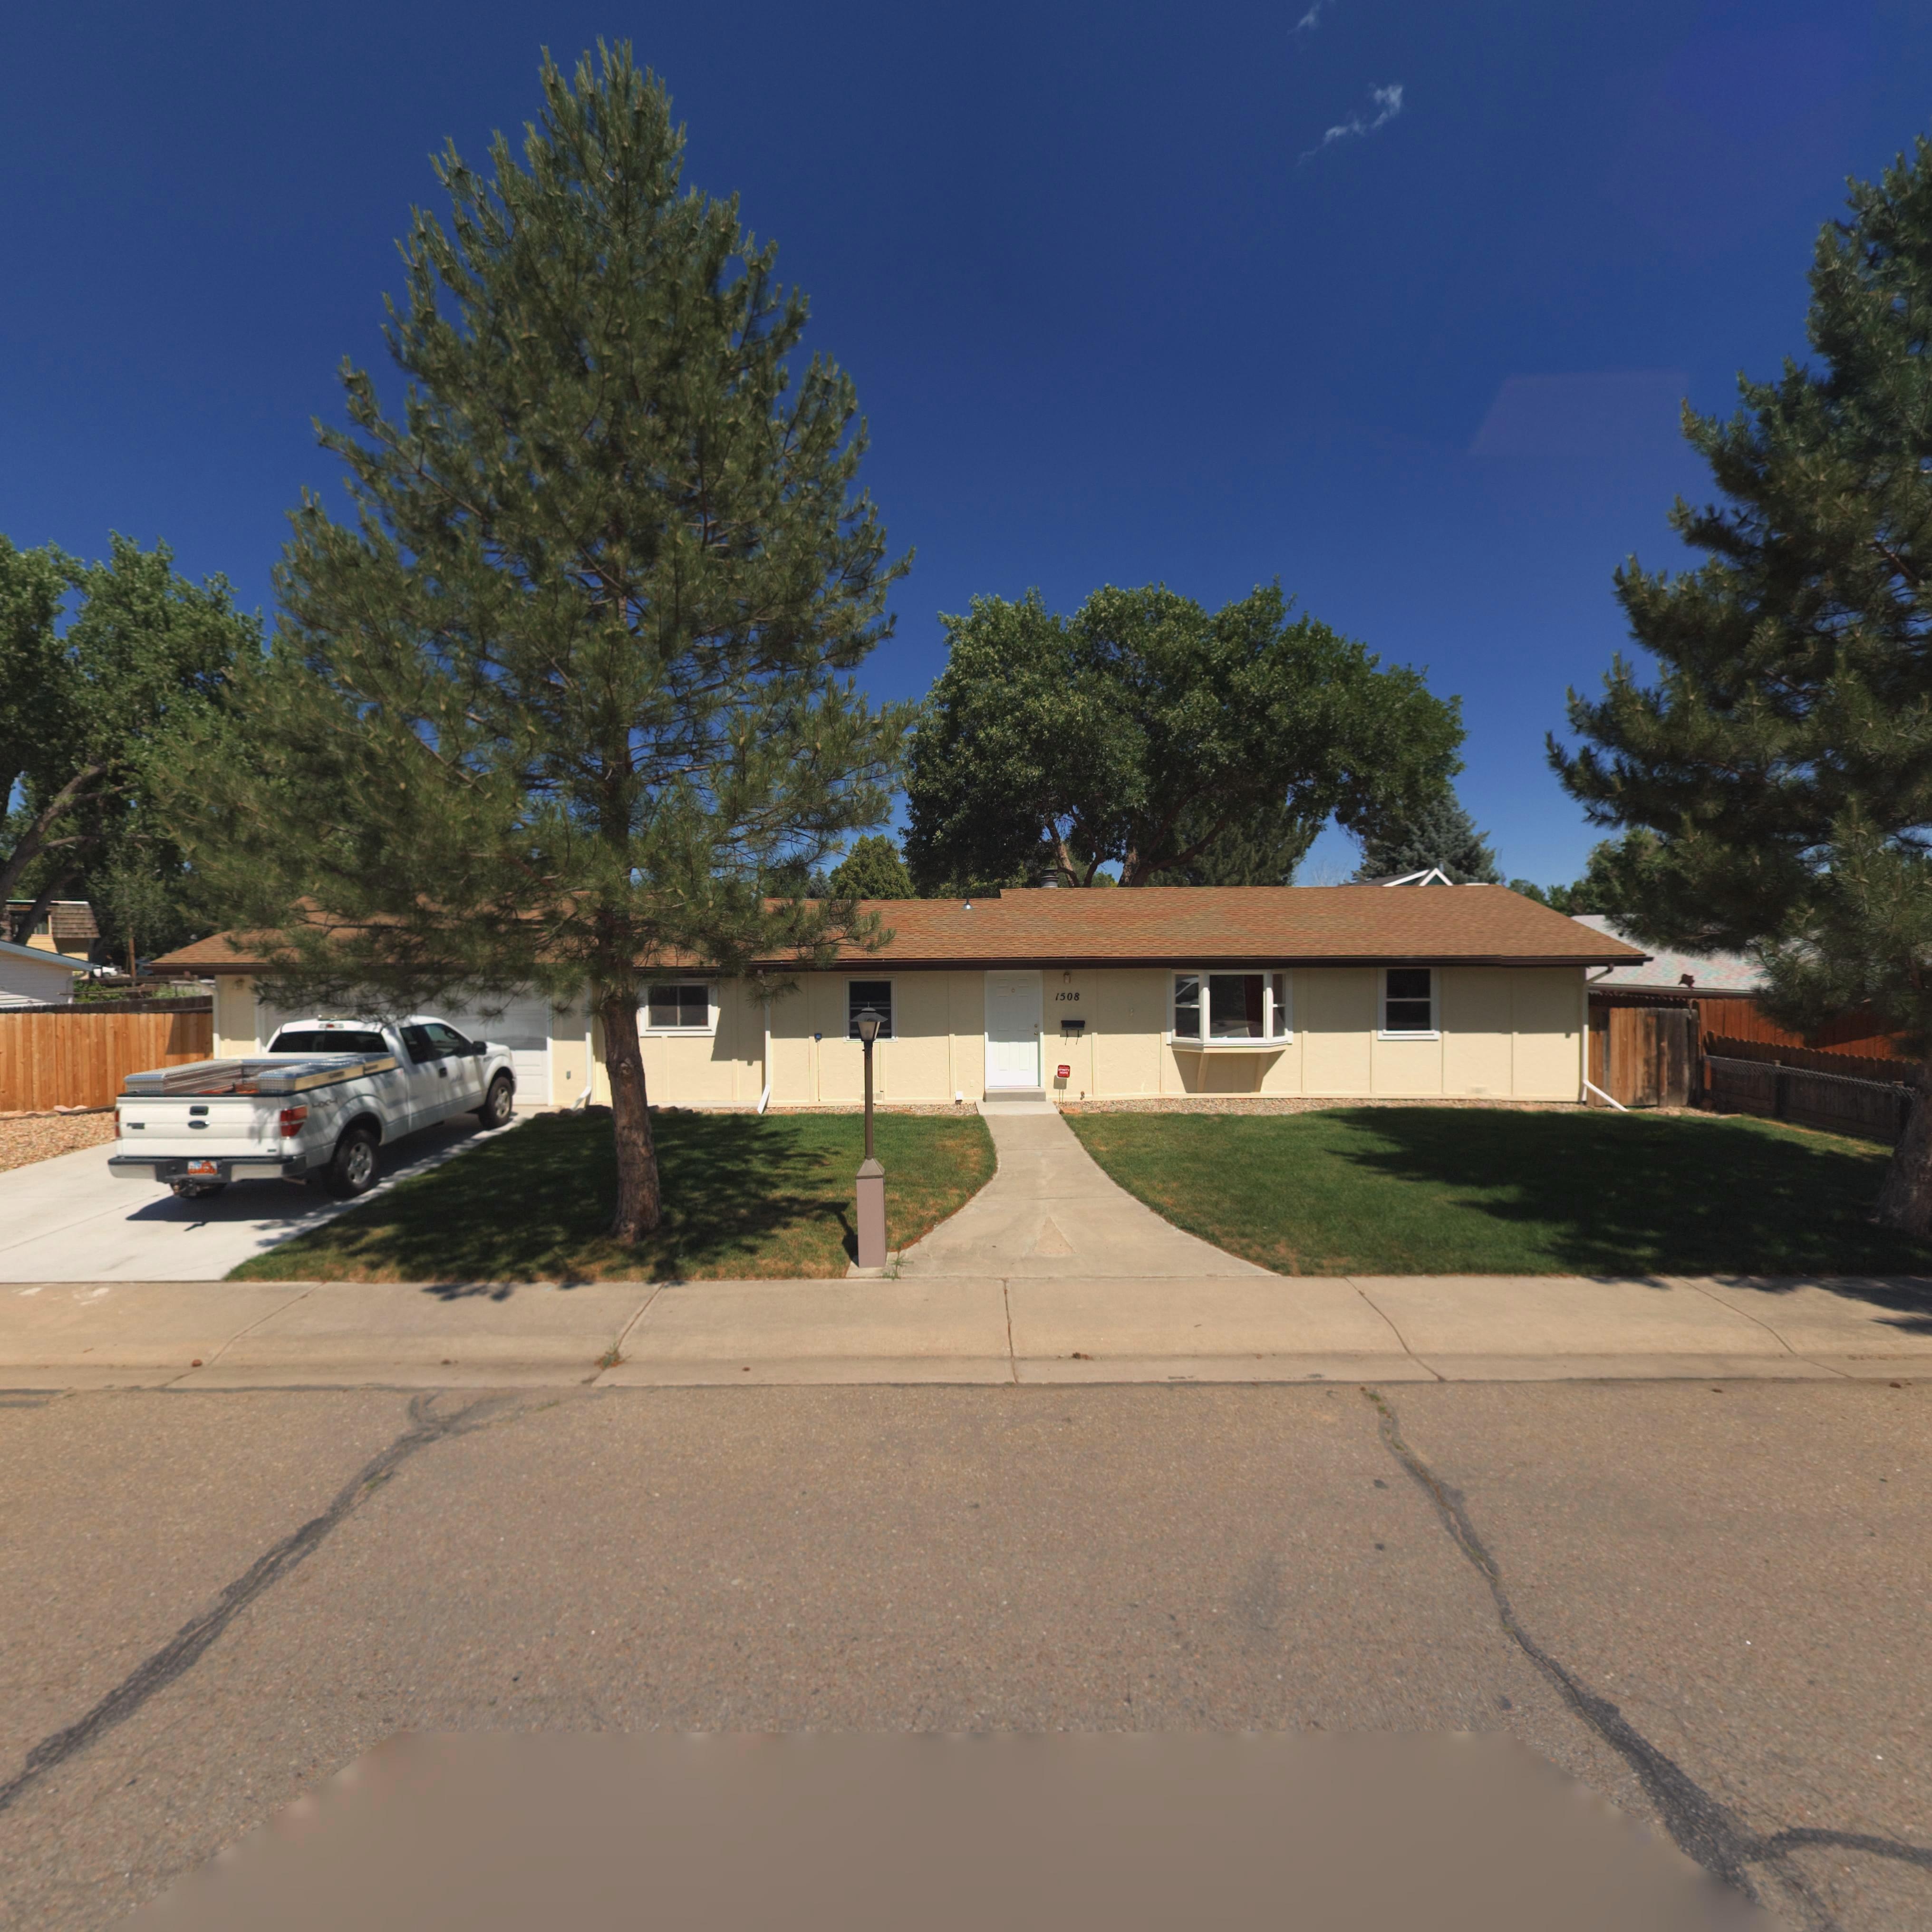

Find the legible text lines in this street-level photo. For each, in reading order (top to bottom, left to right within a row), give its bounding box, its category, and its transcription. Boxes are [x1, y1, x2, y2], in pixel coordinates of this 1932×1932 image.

[1053, 992, 1081, 1002] StreetNumber: 1508